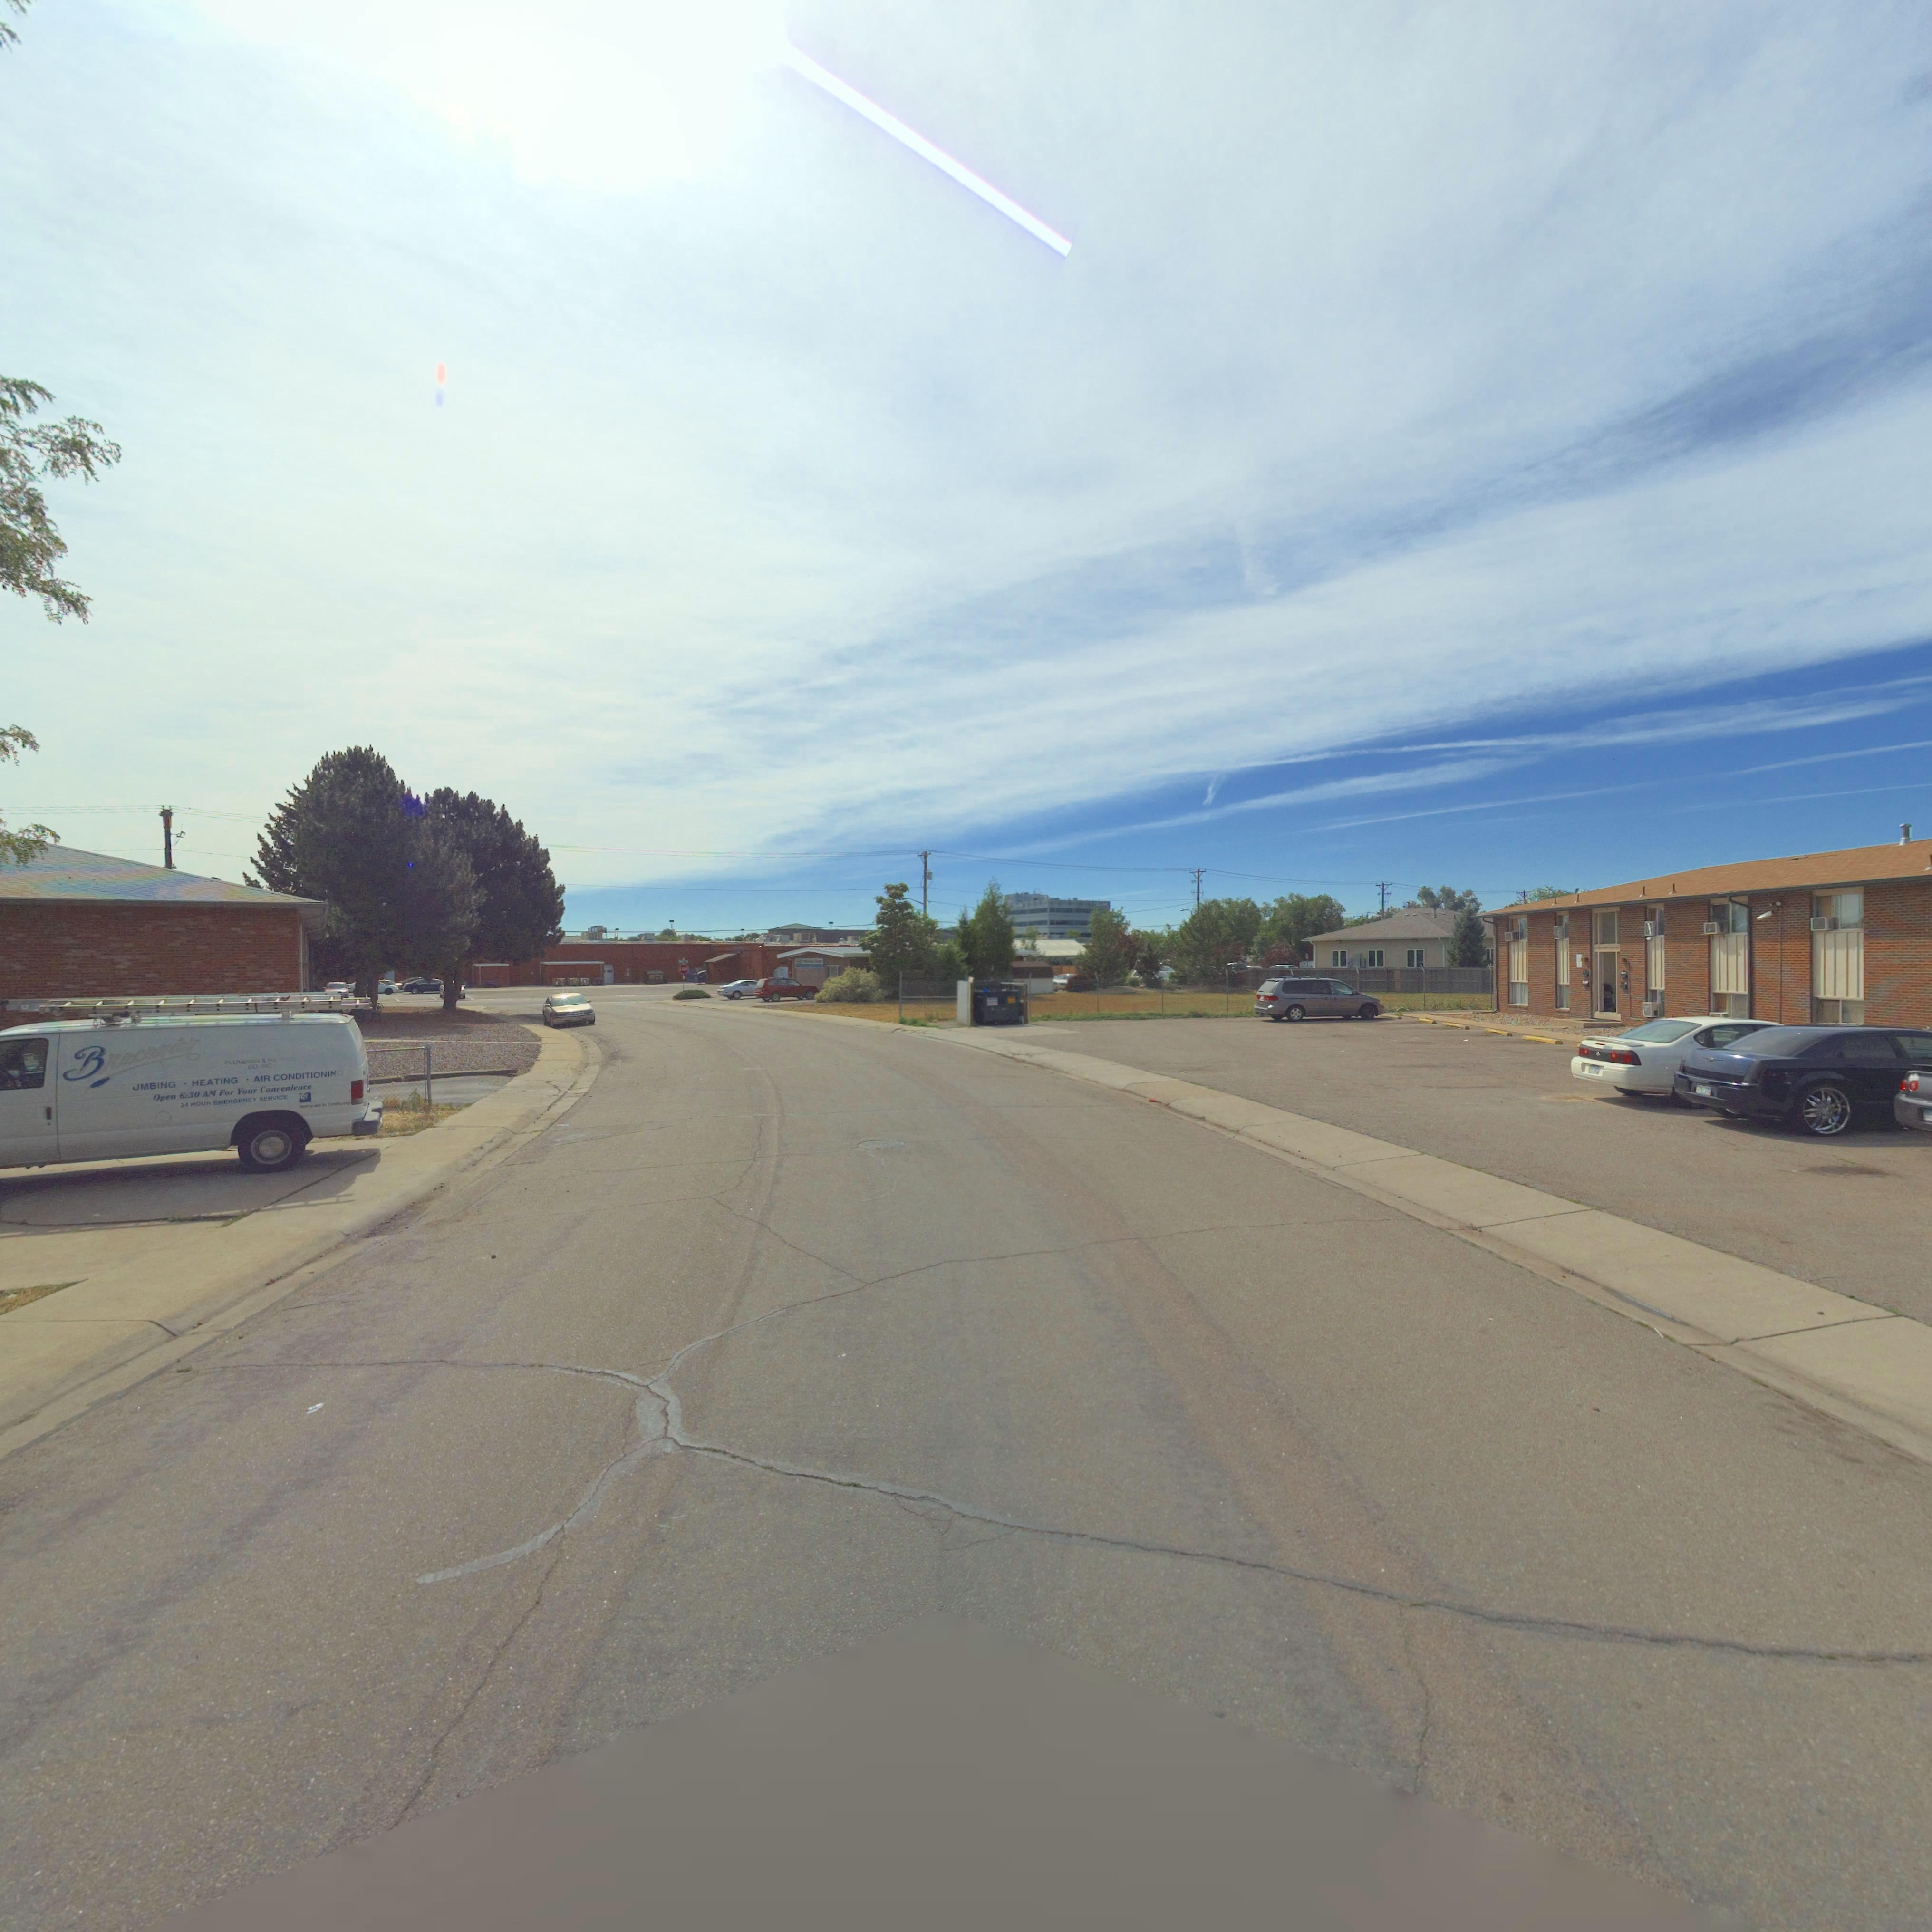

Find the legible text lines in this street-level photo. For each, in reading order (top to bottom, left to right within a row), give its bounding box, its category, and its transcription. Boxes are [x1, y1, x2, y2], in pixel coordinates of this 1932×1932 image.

[1088, 901, 1108, 908] BusinessName: ***BA**